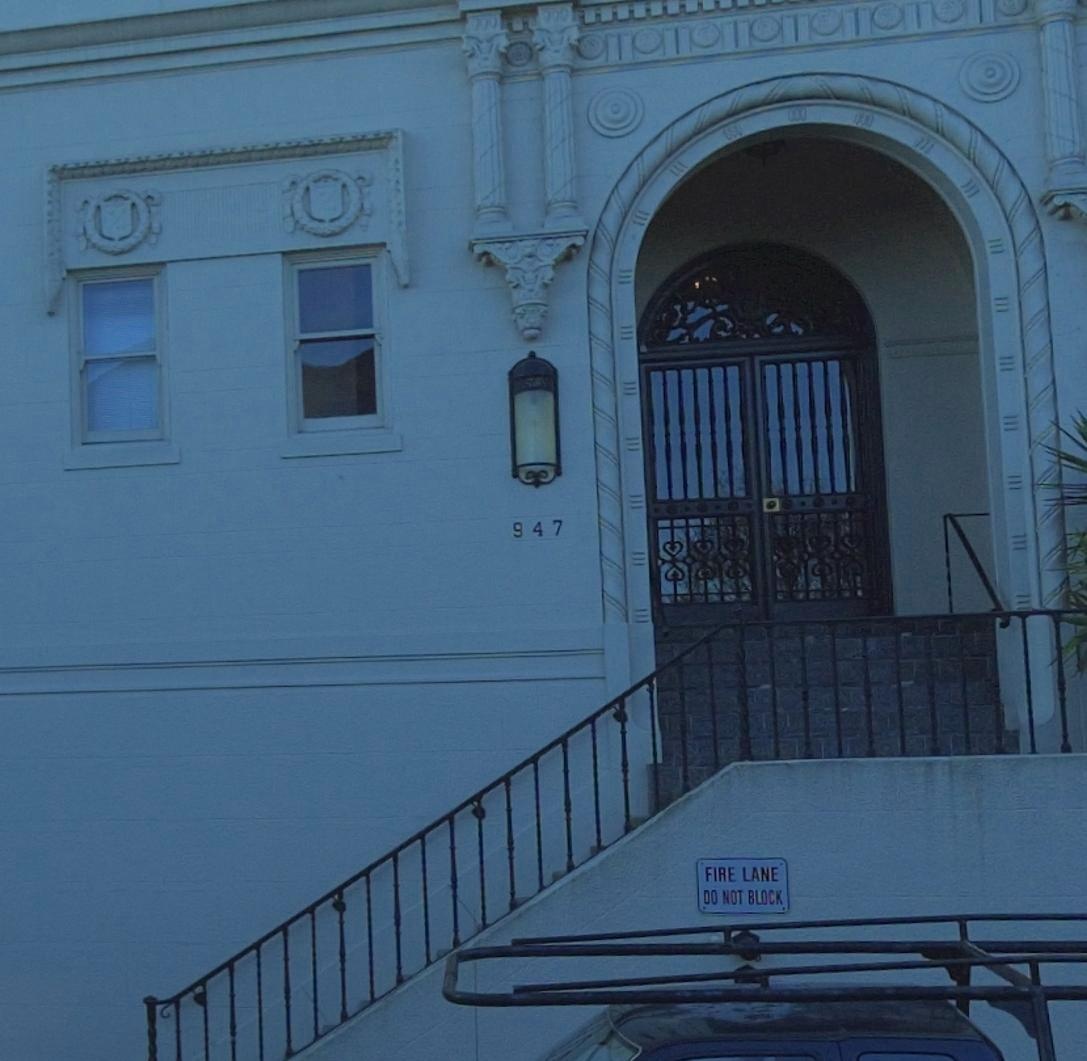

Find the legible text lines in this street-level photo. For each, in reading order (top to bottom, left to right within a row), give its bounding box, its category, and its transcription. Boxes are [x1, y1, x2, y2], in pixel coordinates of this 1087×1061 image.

[511, 518, 565, 539] StreetNumber: 947
[703, 864, 783, 884] None: FIRE LANE
[702, 886, 786, 906] None: DO NOT BLOCK